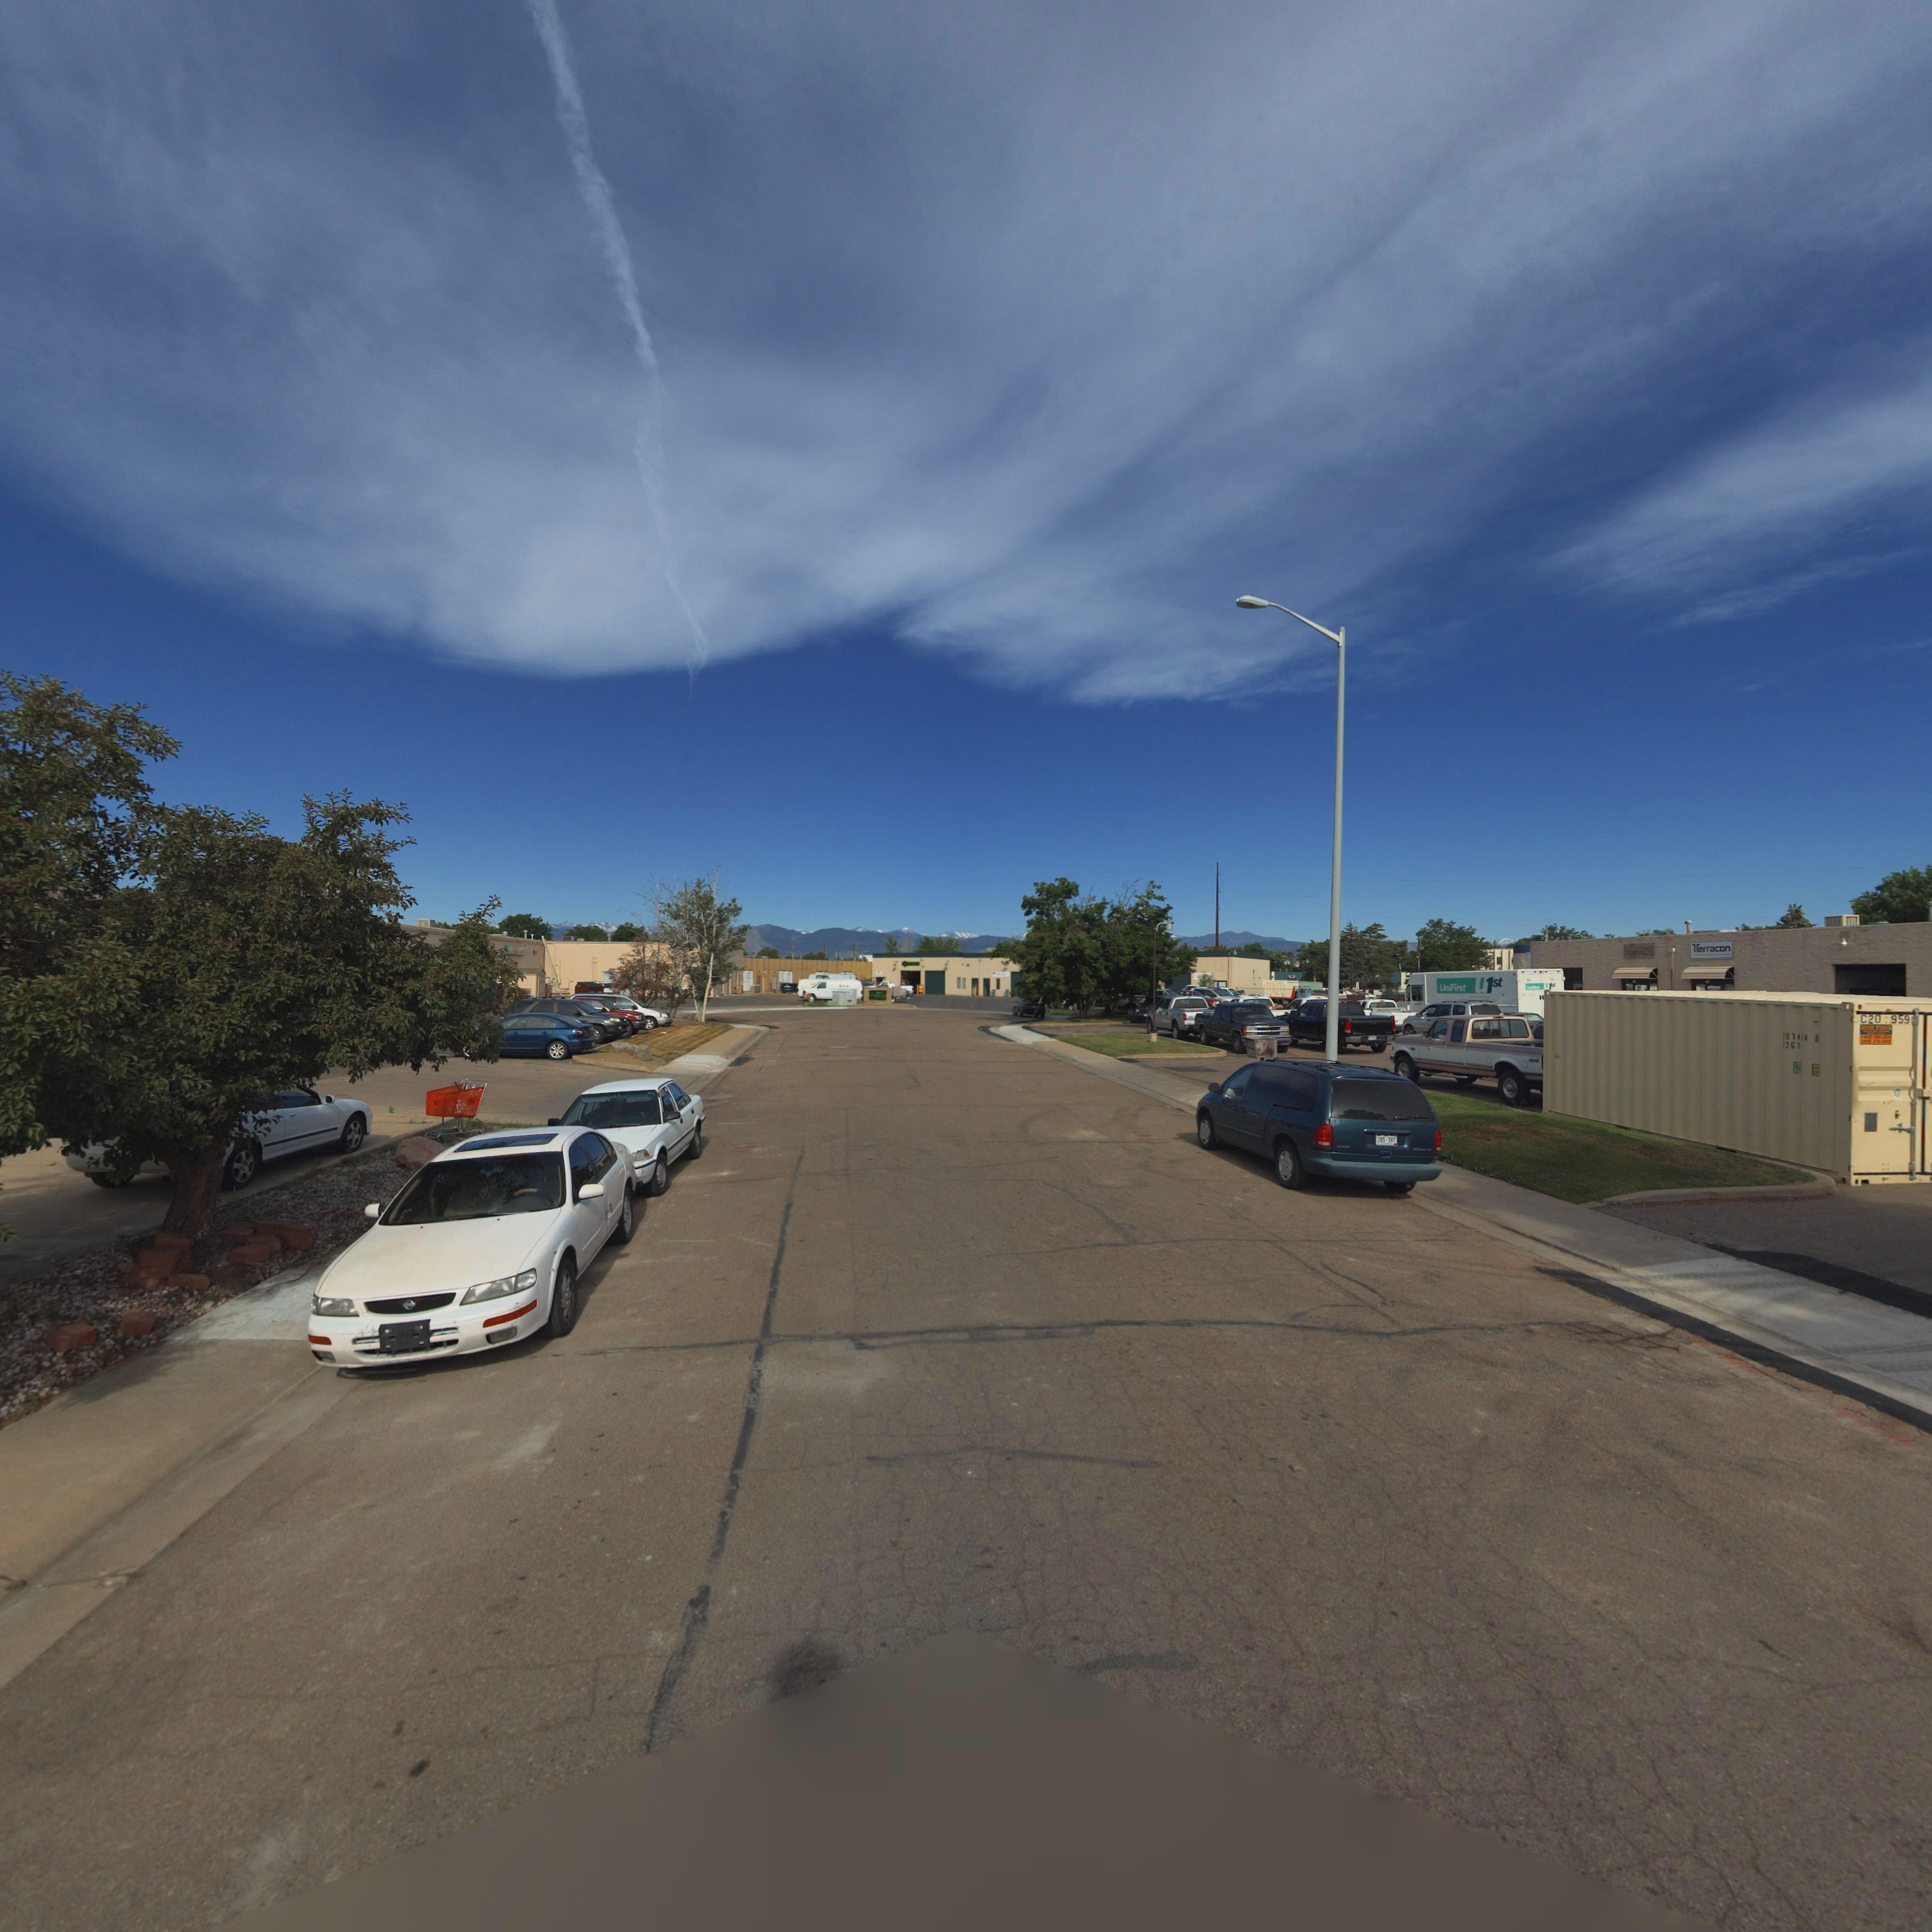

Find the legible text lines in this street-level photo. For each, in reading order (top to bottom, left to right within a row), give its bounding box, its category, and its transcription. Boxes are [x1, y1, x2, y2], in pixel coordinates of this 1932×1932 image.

[1691, 943, 1730, 953] BusinessName: *erracon
[873, 994, 886, 996] BusinessName: **** **C*